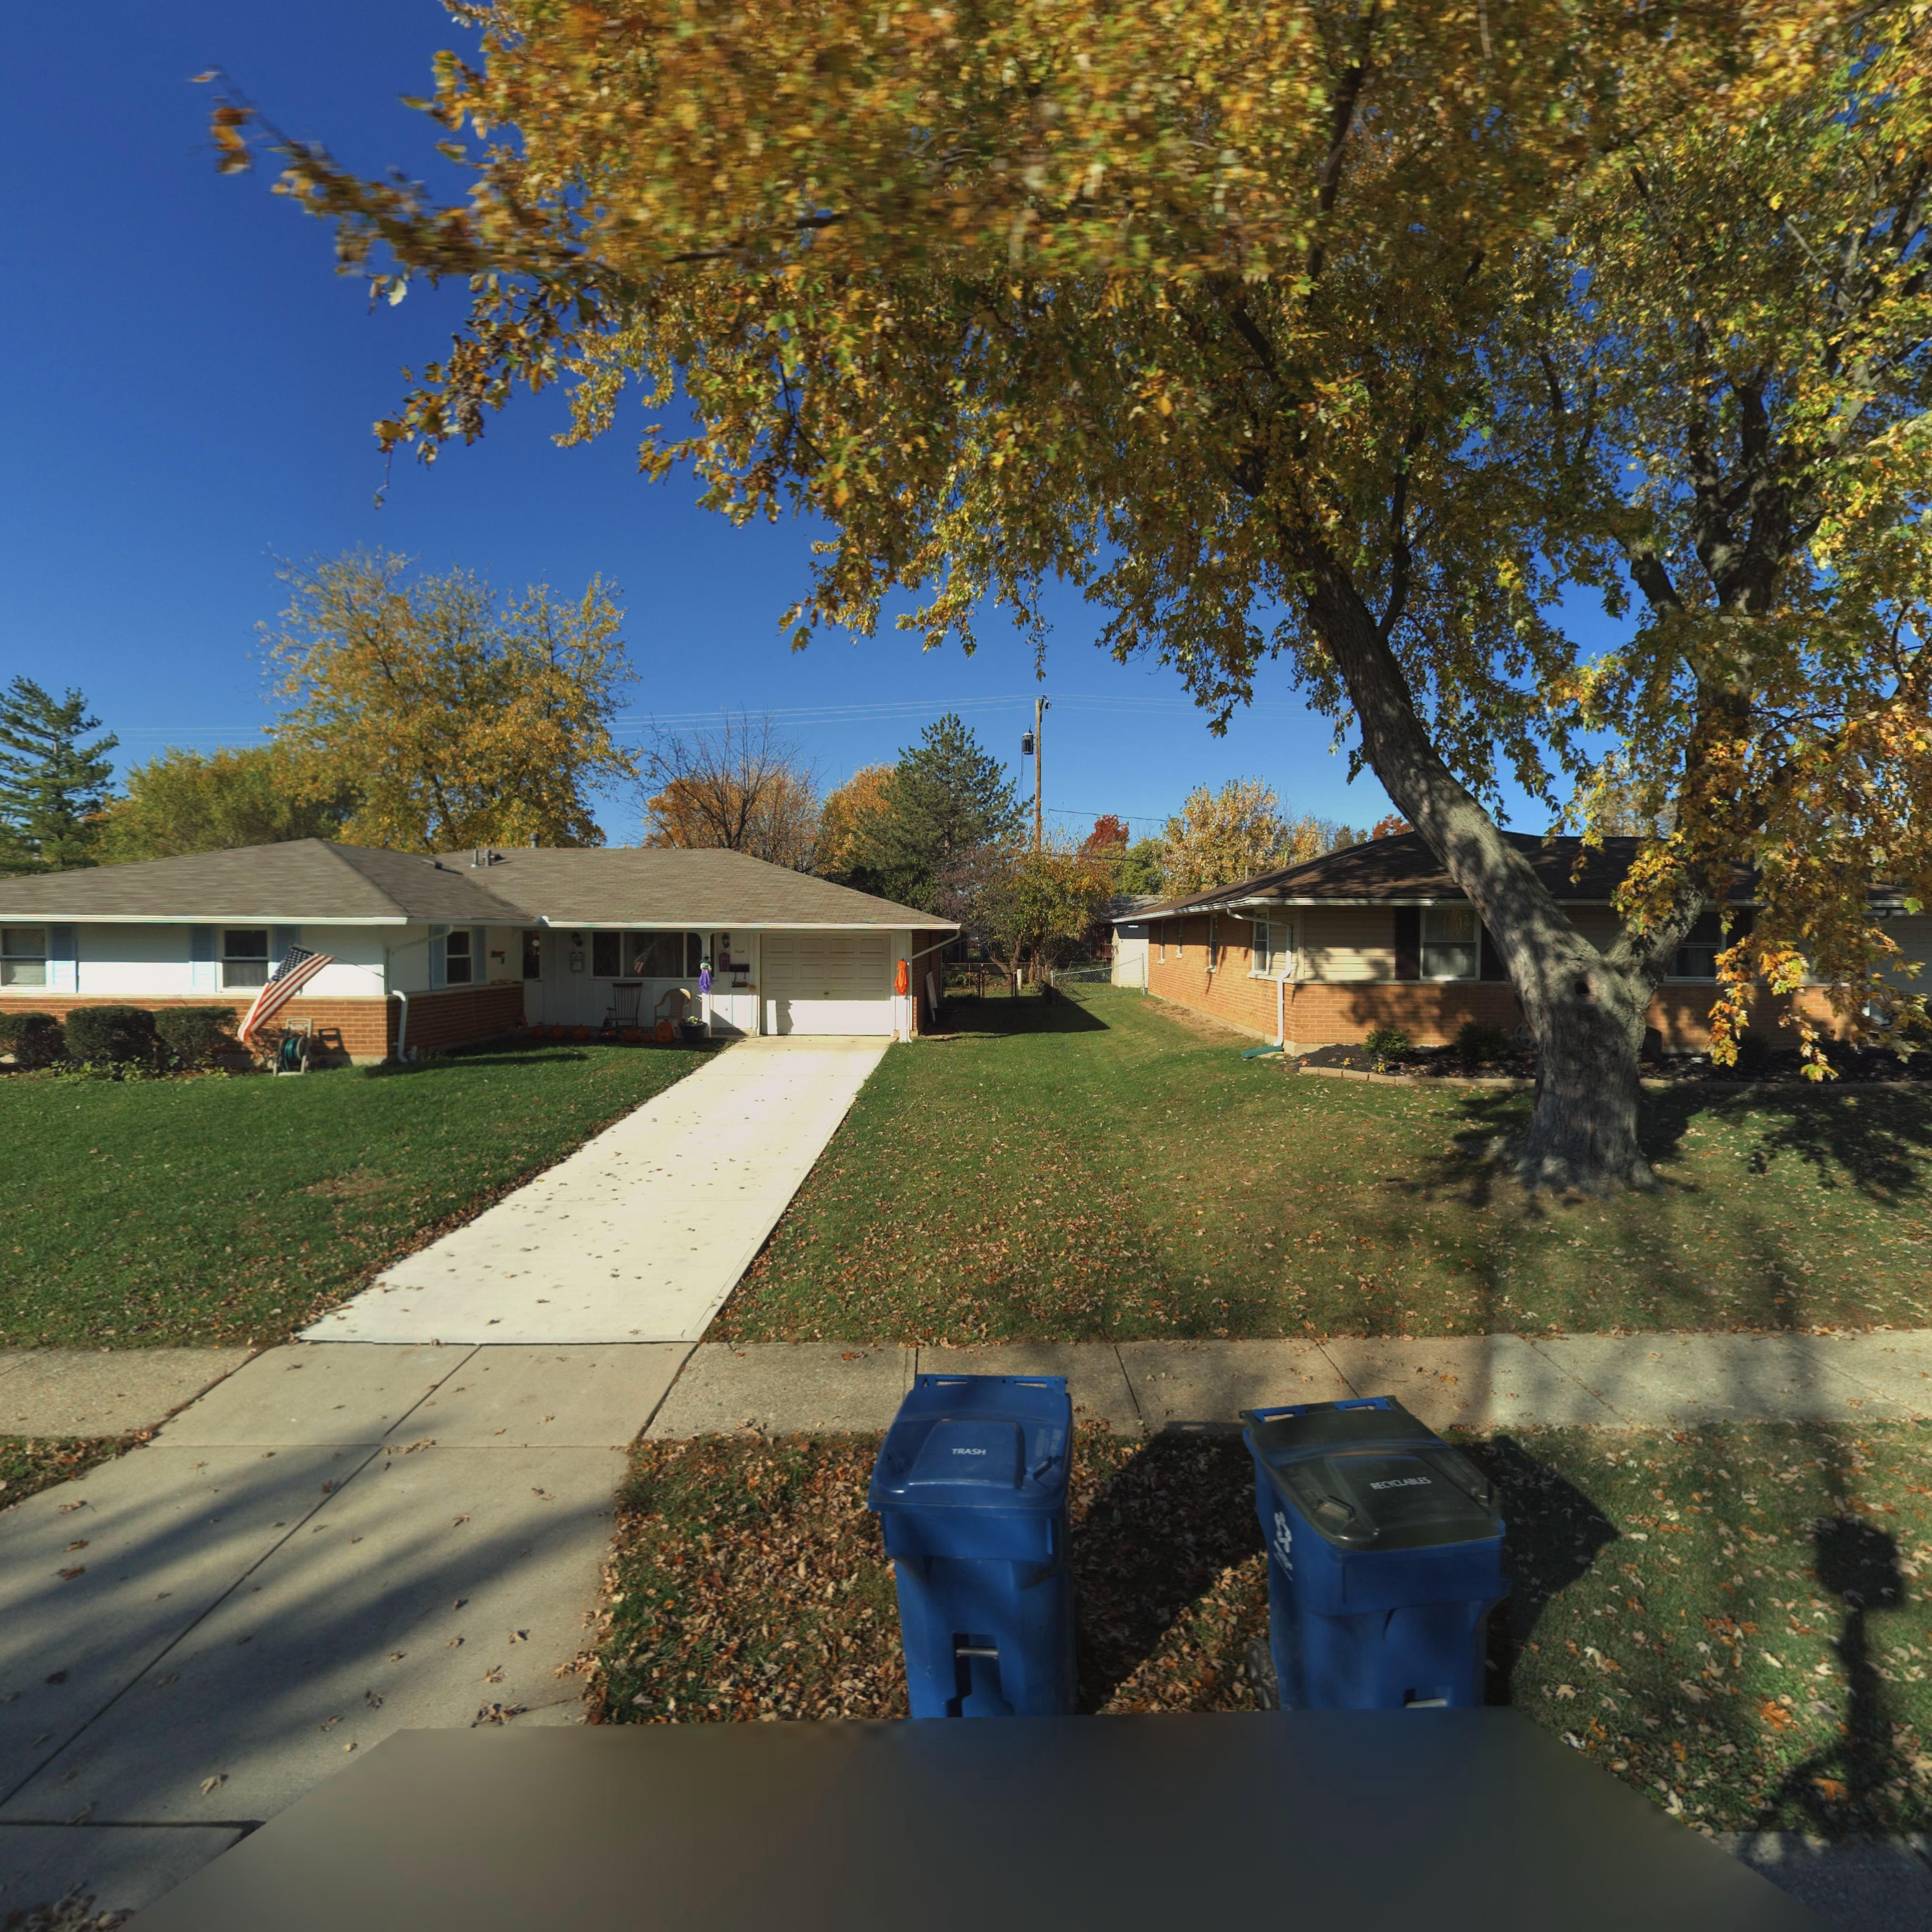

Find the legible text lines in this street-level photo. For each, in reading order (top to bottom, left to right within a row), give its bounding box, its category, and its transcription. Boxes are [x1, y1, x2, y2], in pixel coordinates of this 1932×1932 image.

[734, 949, 745, 954] StreetNumber: 7**9